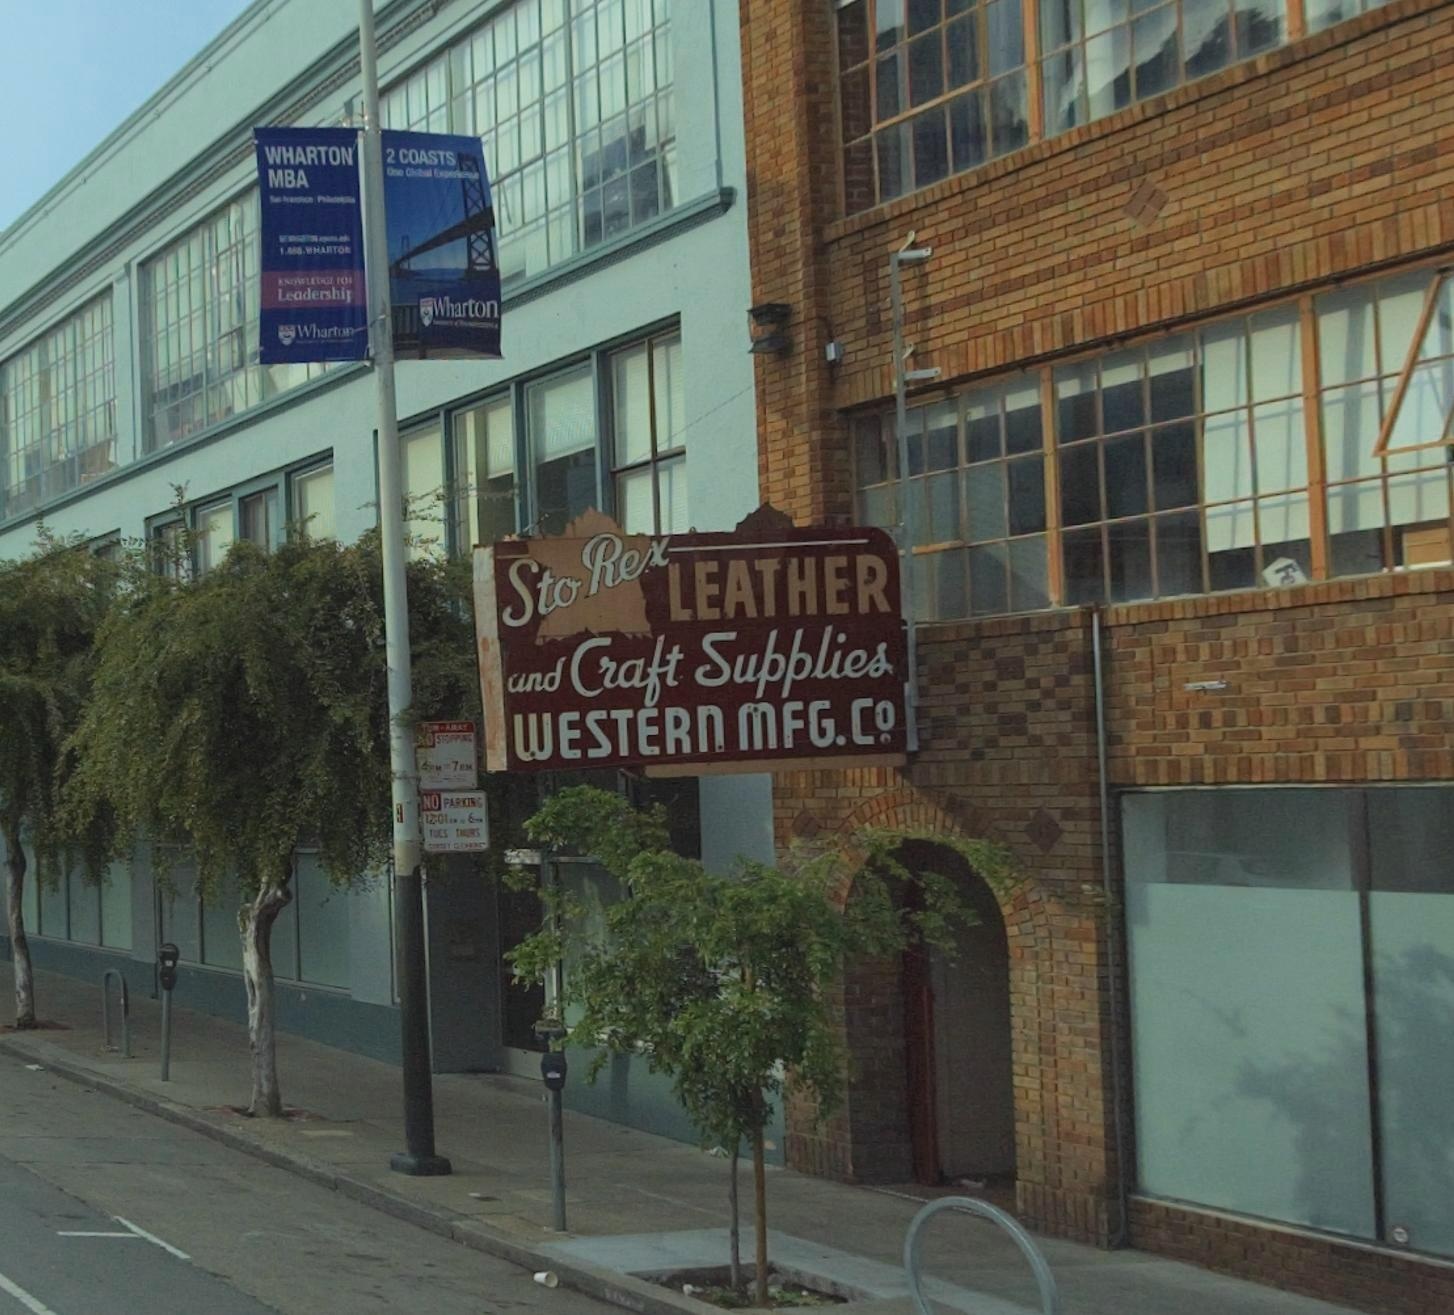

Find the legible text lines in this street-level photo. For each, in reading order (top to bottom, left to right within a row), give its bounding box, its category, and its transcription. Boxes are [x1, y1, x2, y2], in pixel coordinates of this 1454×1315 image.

[259, 142, 357, 168] None: WHARTON
[383, 143, 460, 169] None: 2 COASTS
[265, 166, 315, 191] None: MBA
[275, 283, 357, 307] None: Leadership
[429, 294, 503, 322] None: Wharton
[295, 320, 357, 342] None: Wharton
[498, 526, 675, 633] BusinessName: Sto Rex
[665, 548, 897, 626] BusinessName: LEATHER
[1268, 558, 1303, 584] None: F
[503, 620, 899, 711] None: and Craft Supplies
[415, 731, 475, 749] None: NO STOPPING
[508, 687, 905, 770] None: WESTERN MFG. Co
[418, 757, 476, 776] None: 2pm * 7**
[395, 801, 405, 824] None: 11
[423, 810, 451, 826] None: 12:01
[420, 791, 487, 813] None: NO PARKING
[466, 810, 477, 825] None: 6